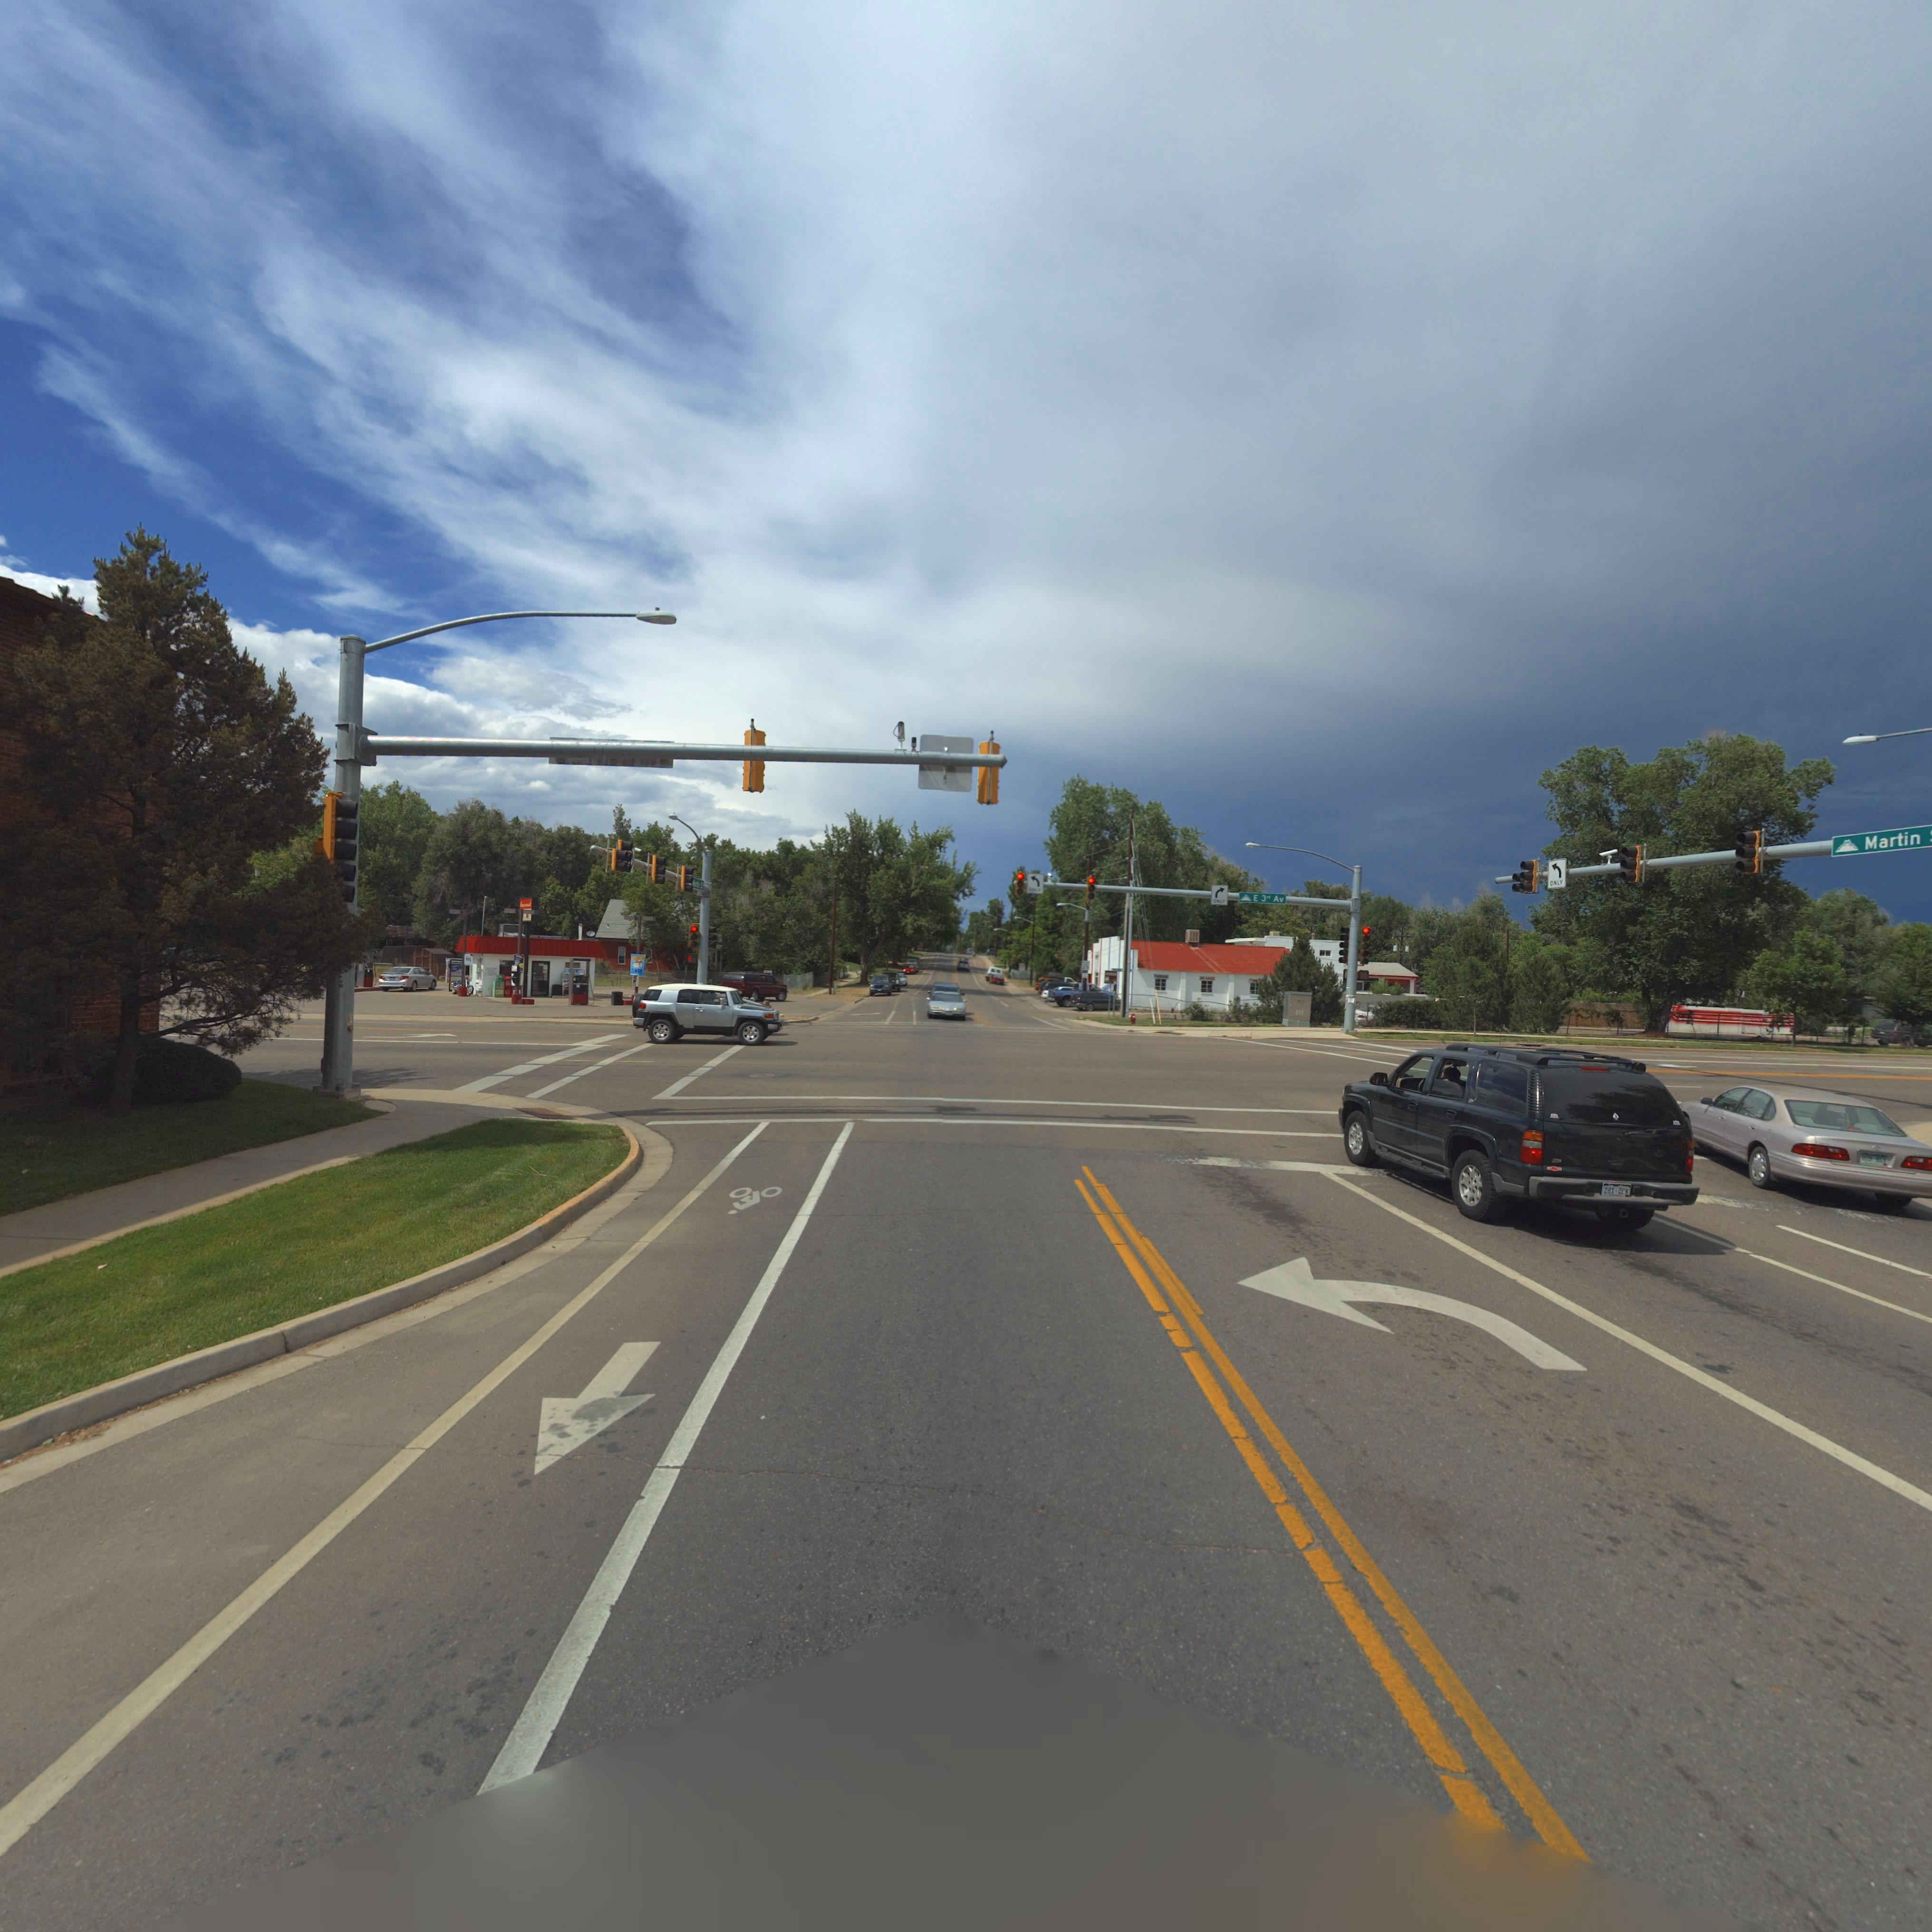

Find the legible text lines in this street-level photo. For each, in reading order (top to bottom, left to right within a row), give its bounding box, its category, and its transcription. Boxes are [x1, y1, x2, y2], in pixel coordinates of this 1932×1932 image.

[1864, 830, 1921, 850] StreetName: Martin
[1253, 893, 1284, 903] StreetName: E 3rd Av